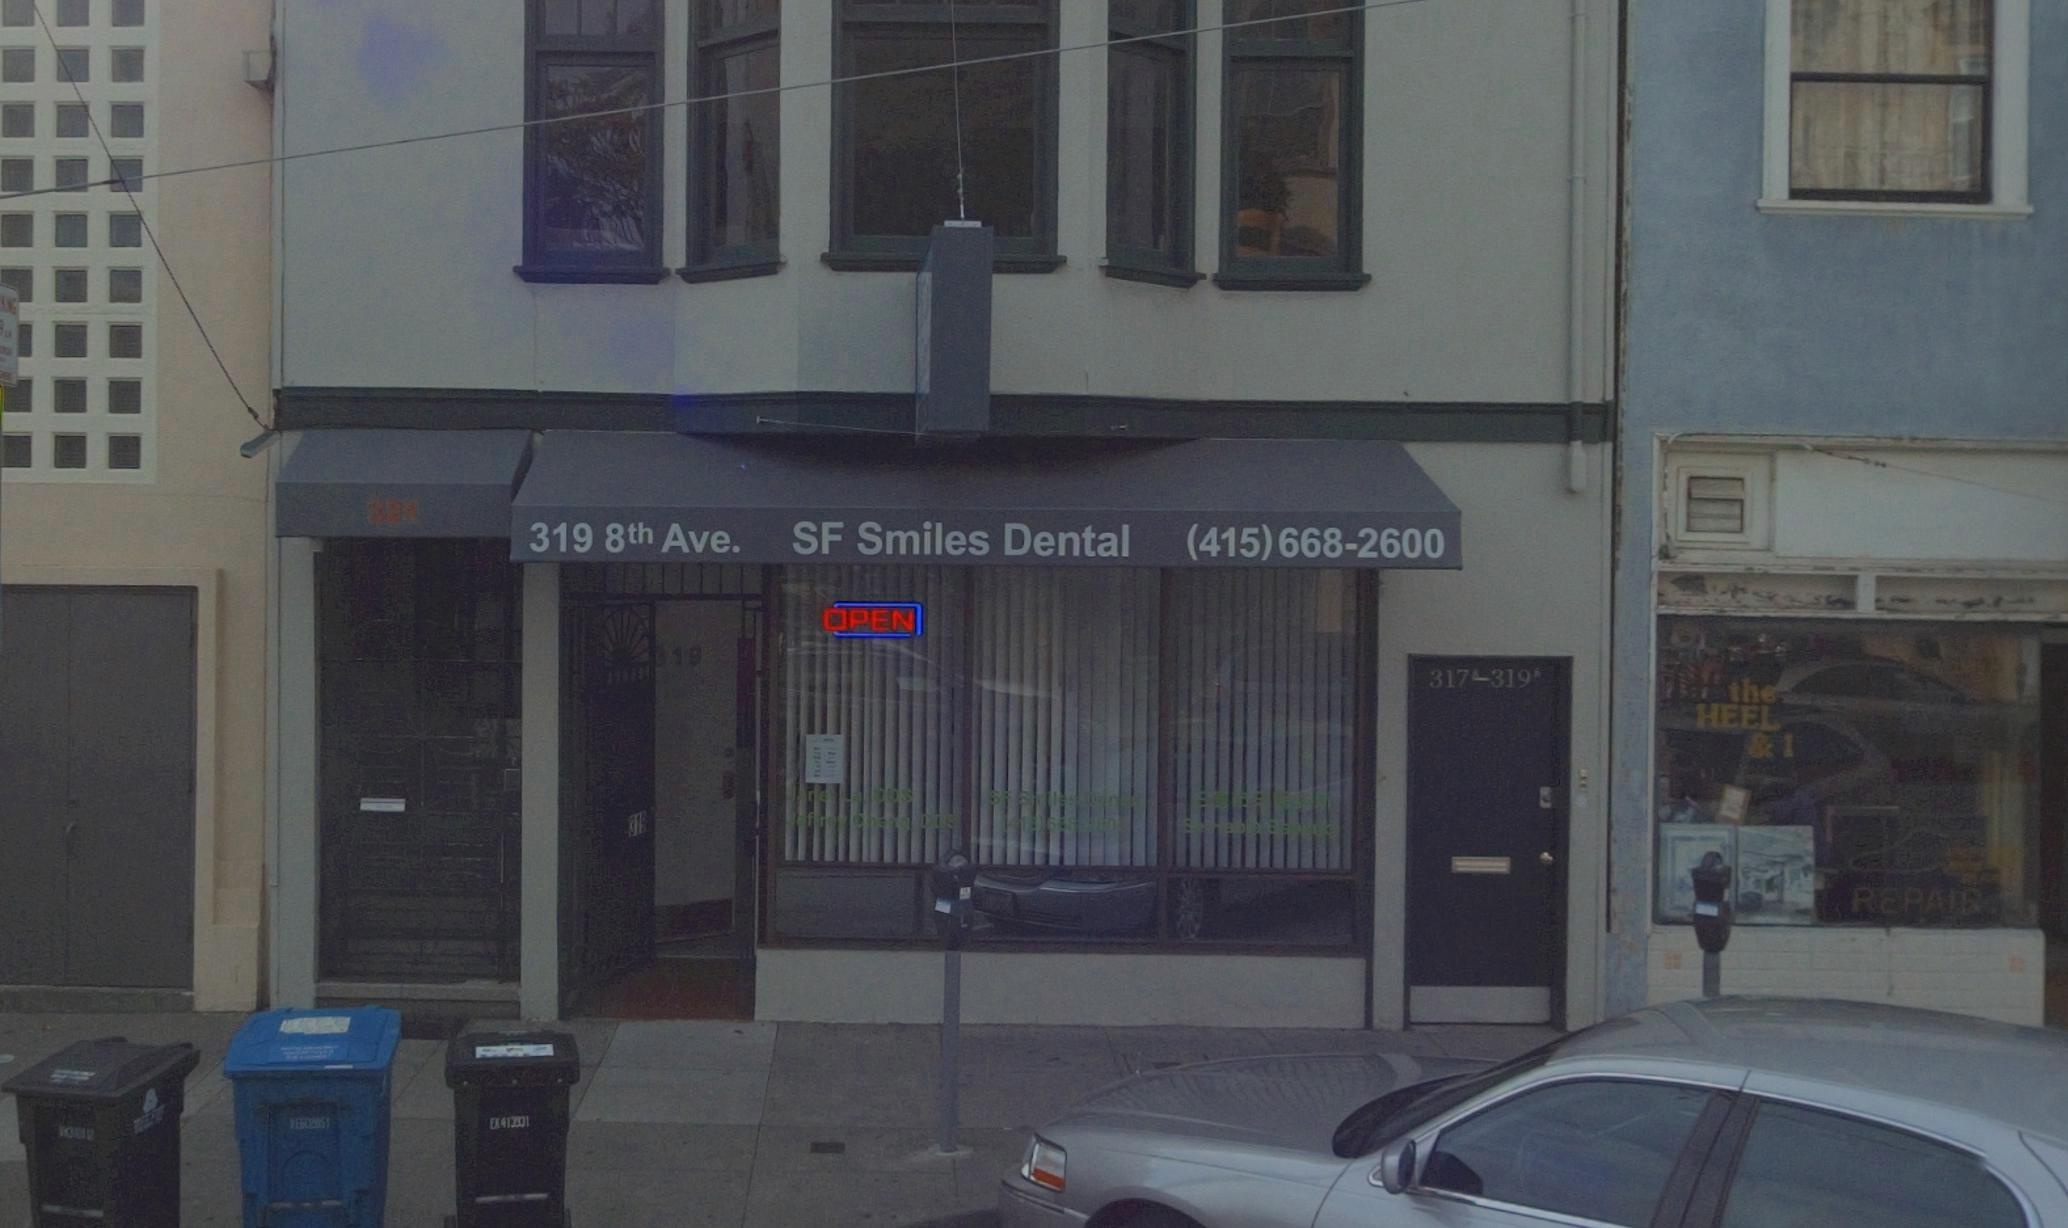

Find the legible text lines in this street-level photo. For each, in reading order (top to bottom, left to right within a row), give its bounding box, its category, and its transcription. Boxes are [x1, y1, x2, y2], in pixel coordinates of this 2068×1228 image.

[365, 495, 420, 527] StreetNumber: 321
[529, 520, 594, 554] StreetNumber: 319
[604, 521, 741, 554] StreetName: 8th Ave.
[792, 519, 1131, 558] BusinessName: SF Smiles Dental
[1186, 522, 1446, 562] None: (415)668-2600
[821, 607, 916, 632] None: OPEN
[653, 644, 704, 669] StreetNumber: 319
[1426, 667, 1474, 692] None: 317
[1485, 666, 1534, 691] None: 319
[1726, 675, 1778, 706] BusinessName: the
[1694, 702, 1782, 733] BusinessName: HEEL
[1781, 733, 1796, 759] BusinessName: I
[629, 810, 647, 837] StreetNumber: 319
[1851, 886, 1982, 916] None: REPAIR
[489, 1115, 530, 1130] None: EX413331